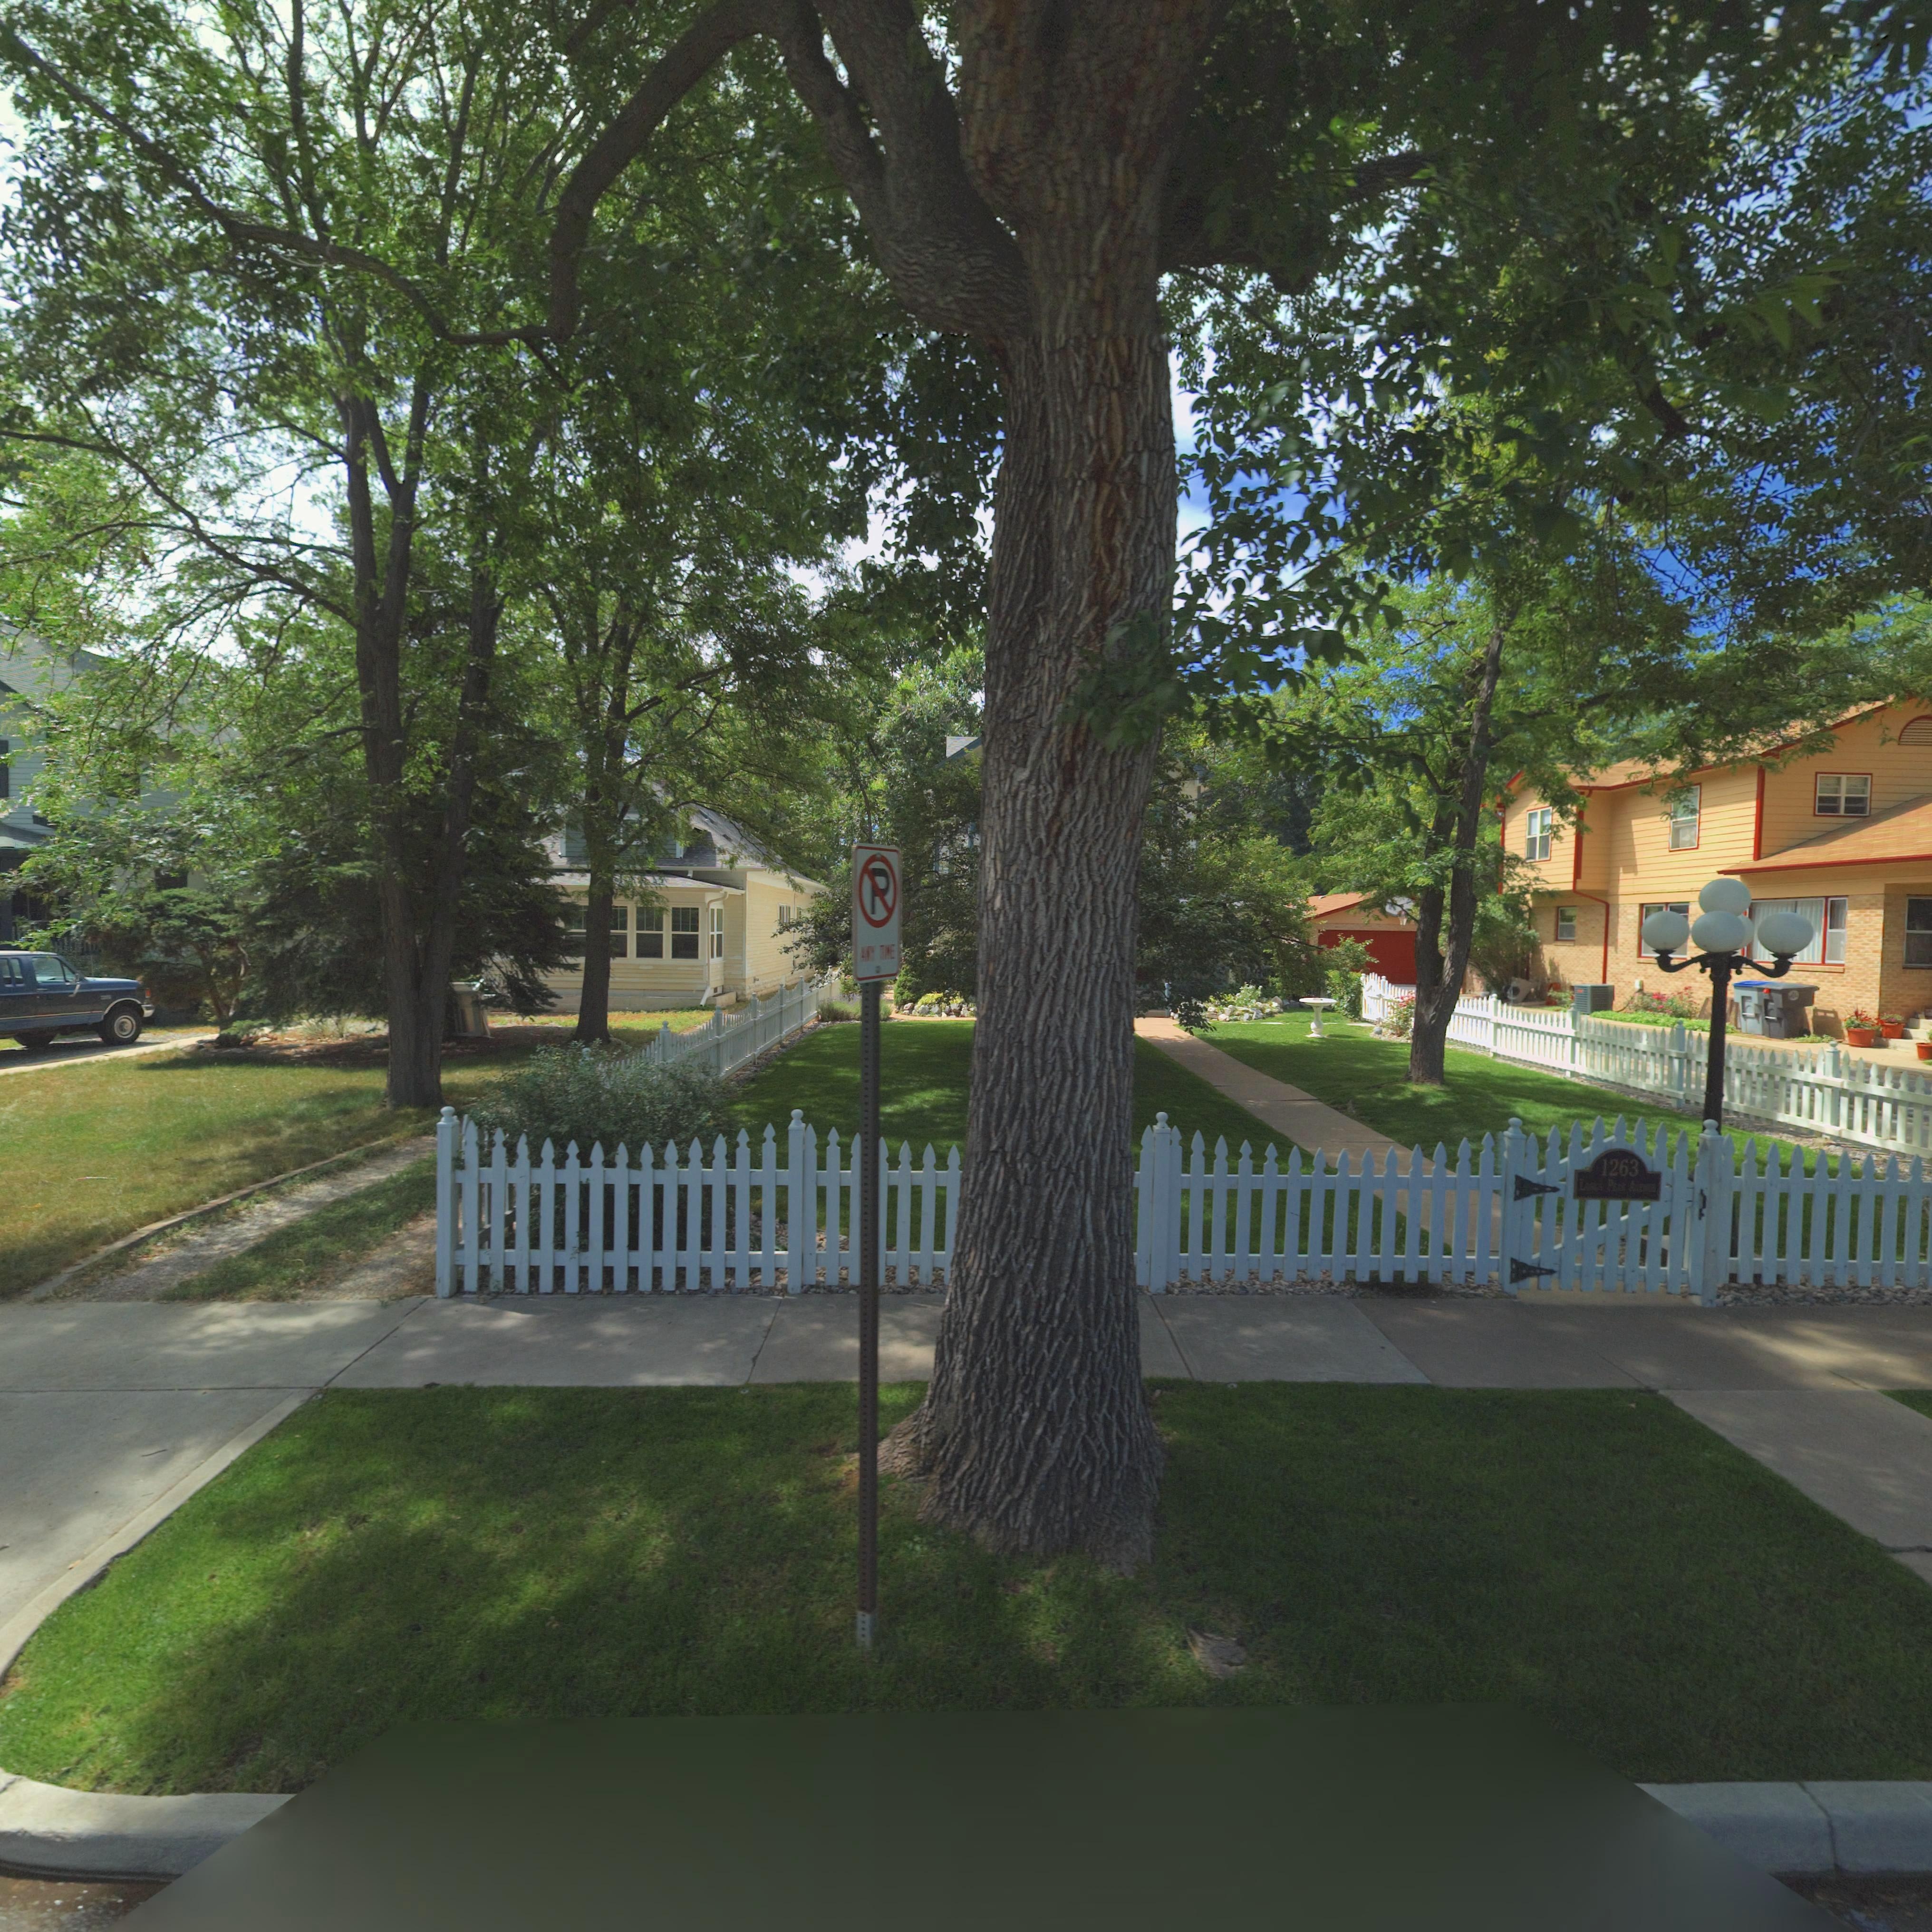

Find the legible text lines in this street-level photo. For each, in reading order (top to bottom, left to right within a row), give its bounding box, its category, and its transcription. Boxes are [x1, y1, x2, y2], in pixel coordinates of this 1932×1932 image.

[1601, 1156, 1641, 1178] StreetNumber: 1263
[1579, 1177, 1658, 1193] StreetName: LO**S PEAK AVE**E